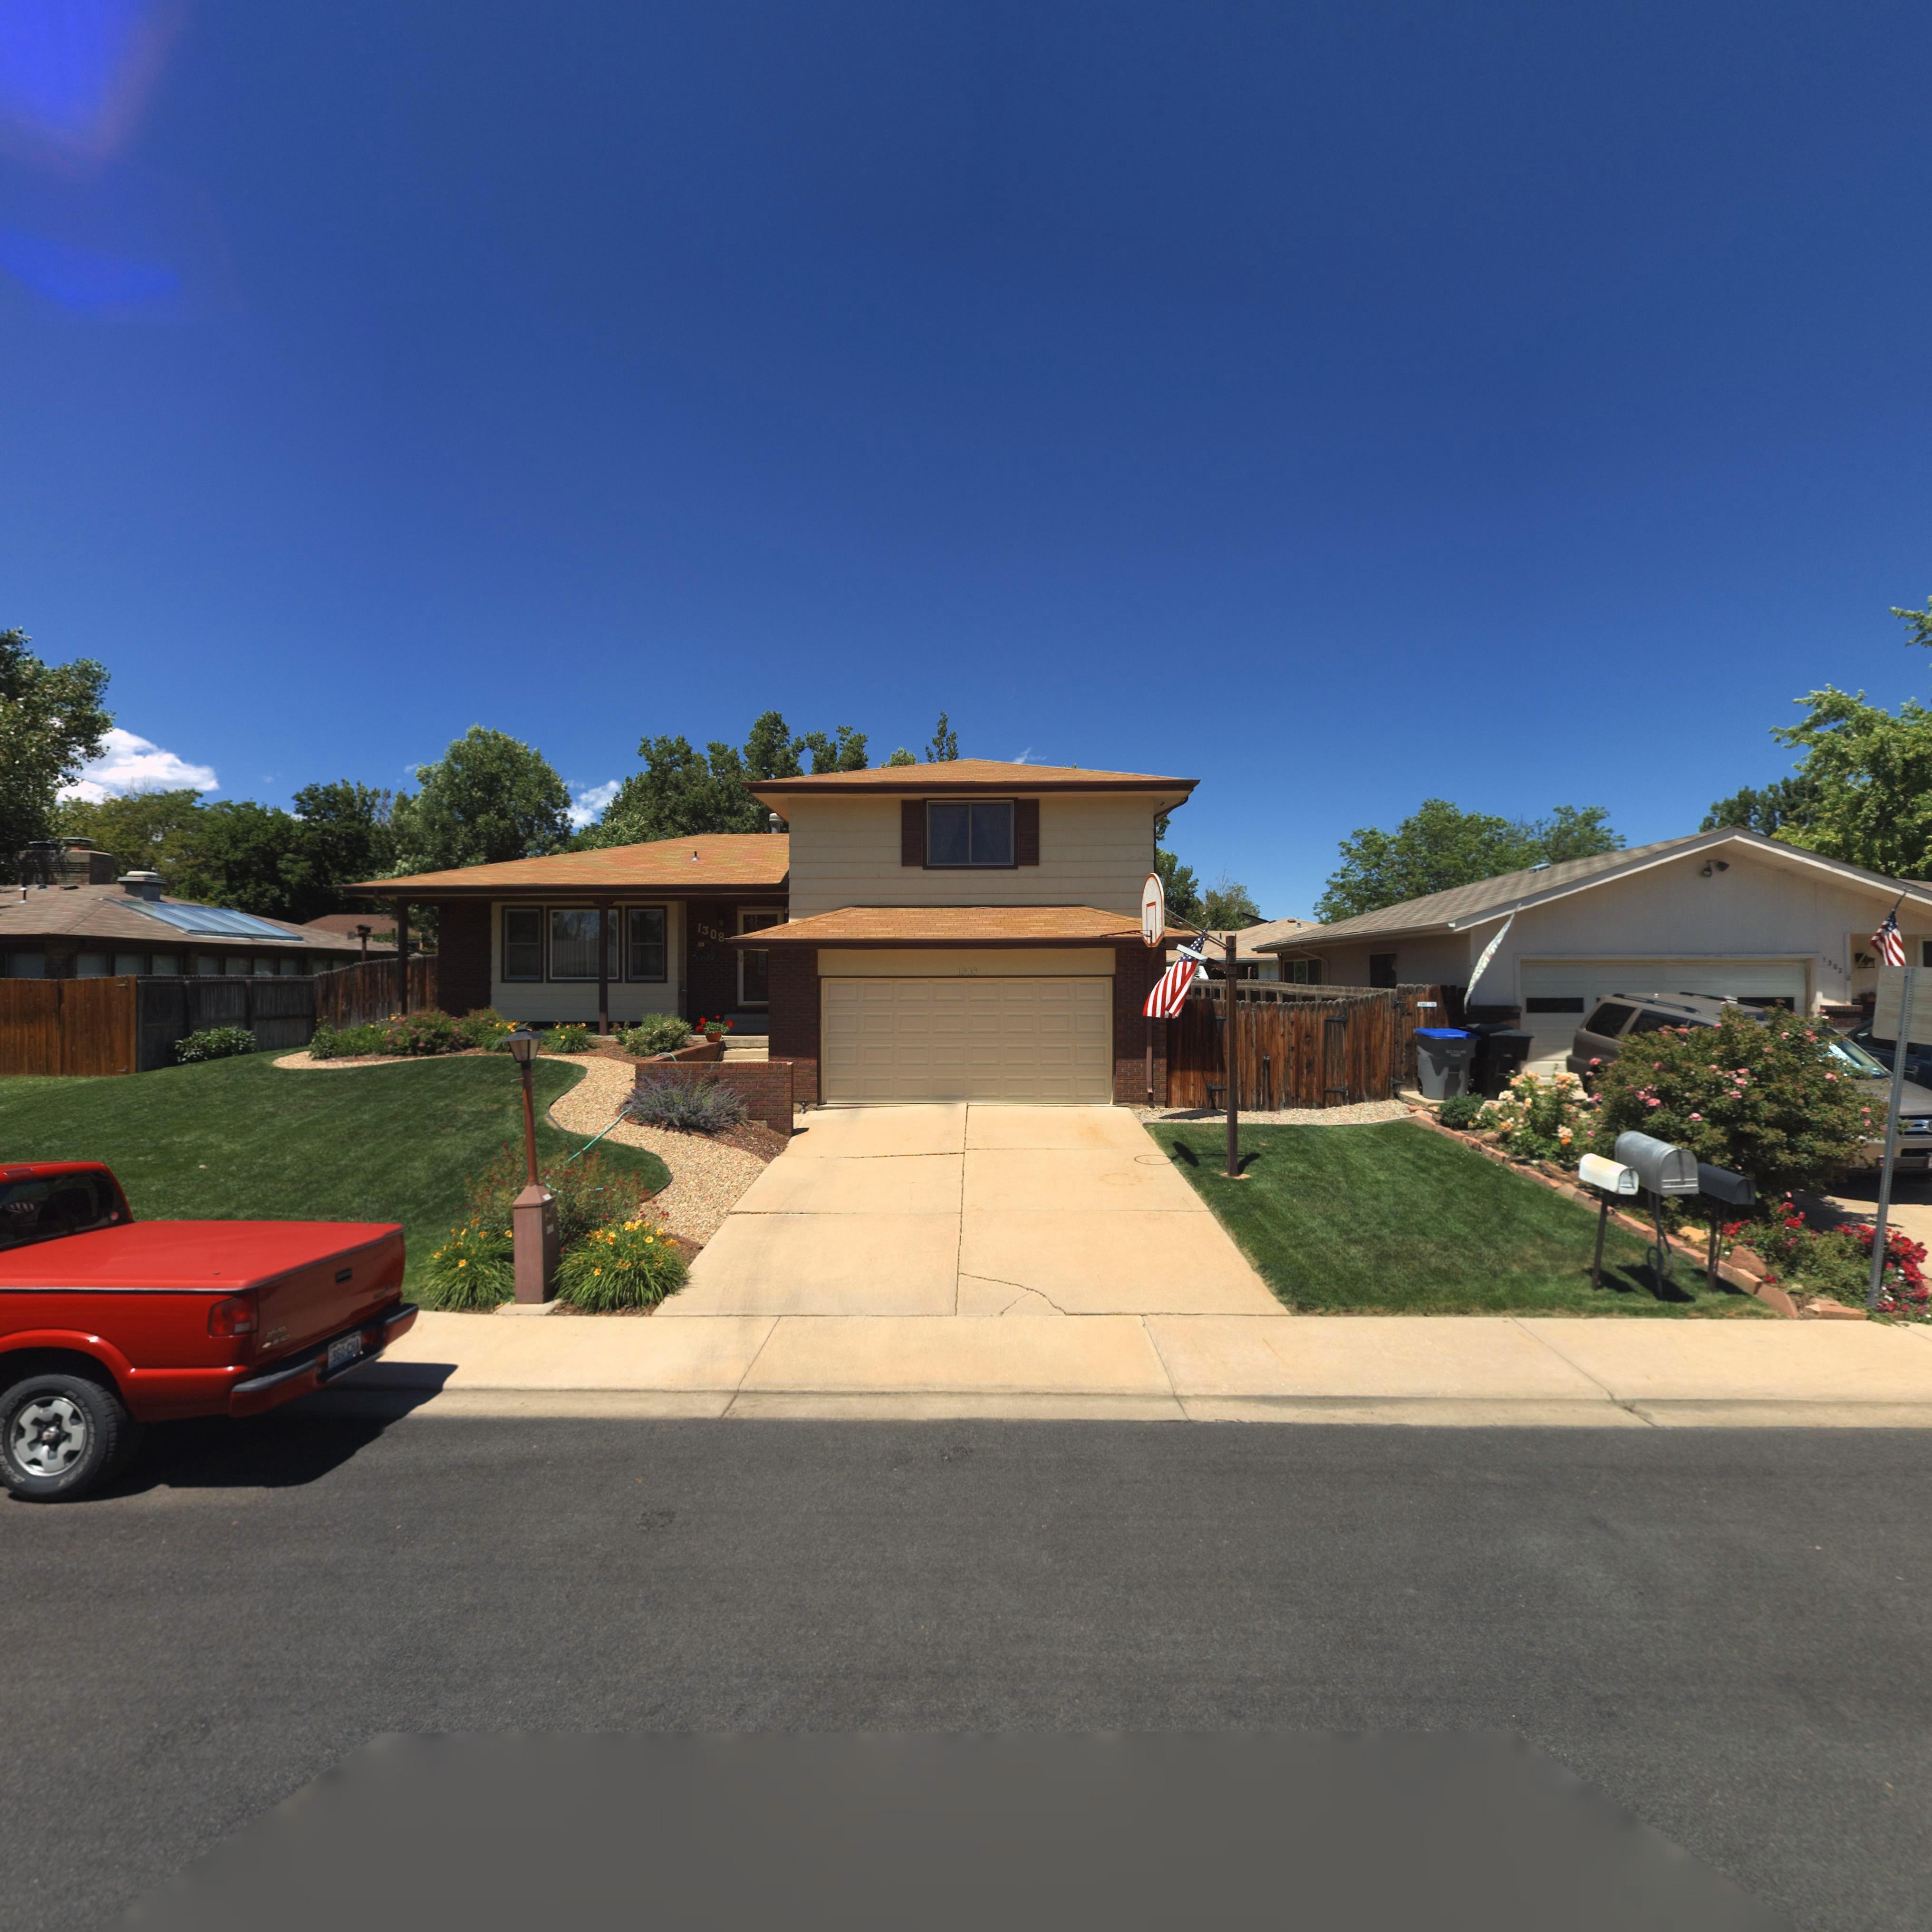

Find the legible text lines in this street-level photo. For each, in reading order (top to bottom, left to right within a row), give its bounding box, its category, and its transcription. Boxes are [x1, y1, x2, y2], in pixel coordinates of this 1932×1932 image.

[697, 923, 724, 942] StreetNumber: 1308
[956, 966, 978, 976] StreetNumber: 1308
[1822, 955, 1842, 974] StreetNumber: 130*